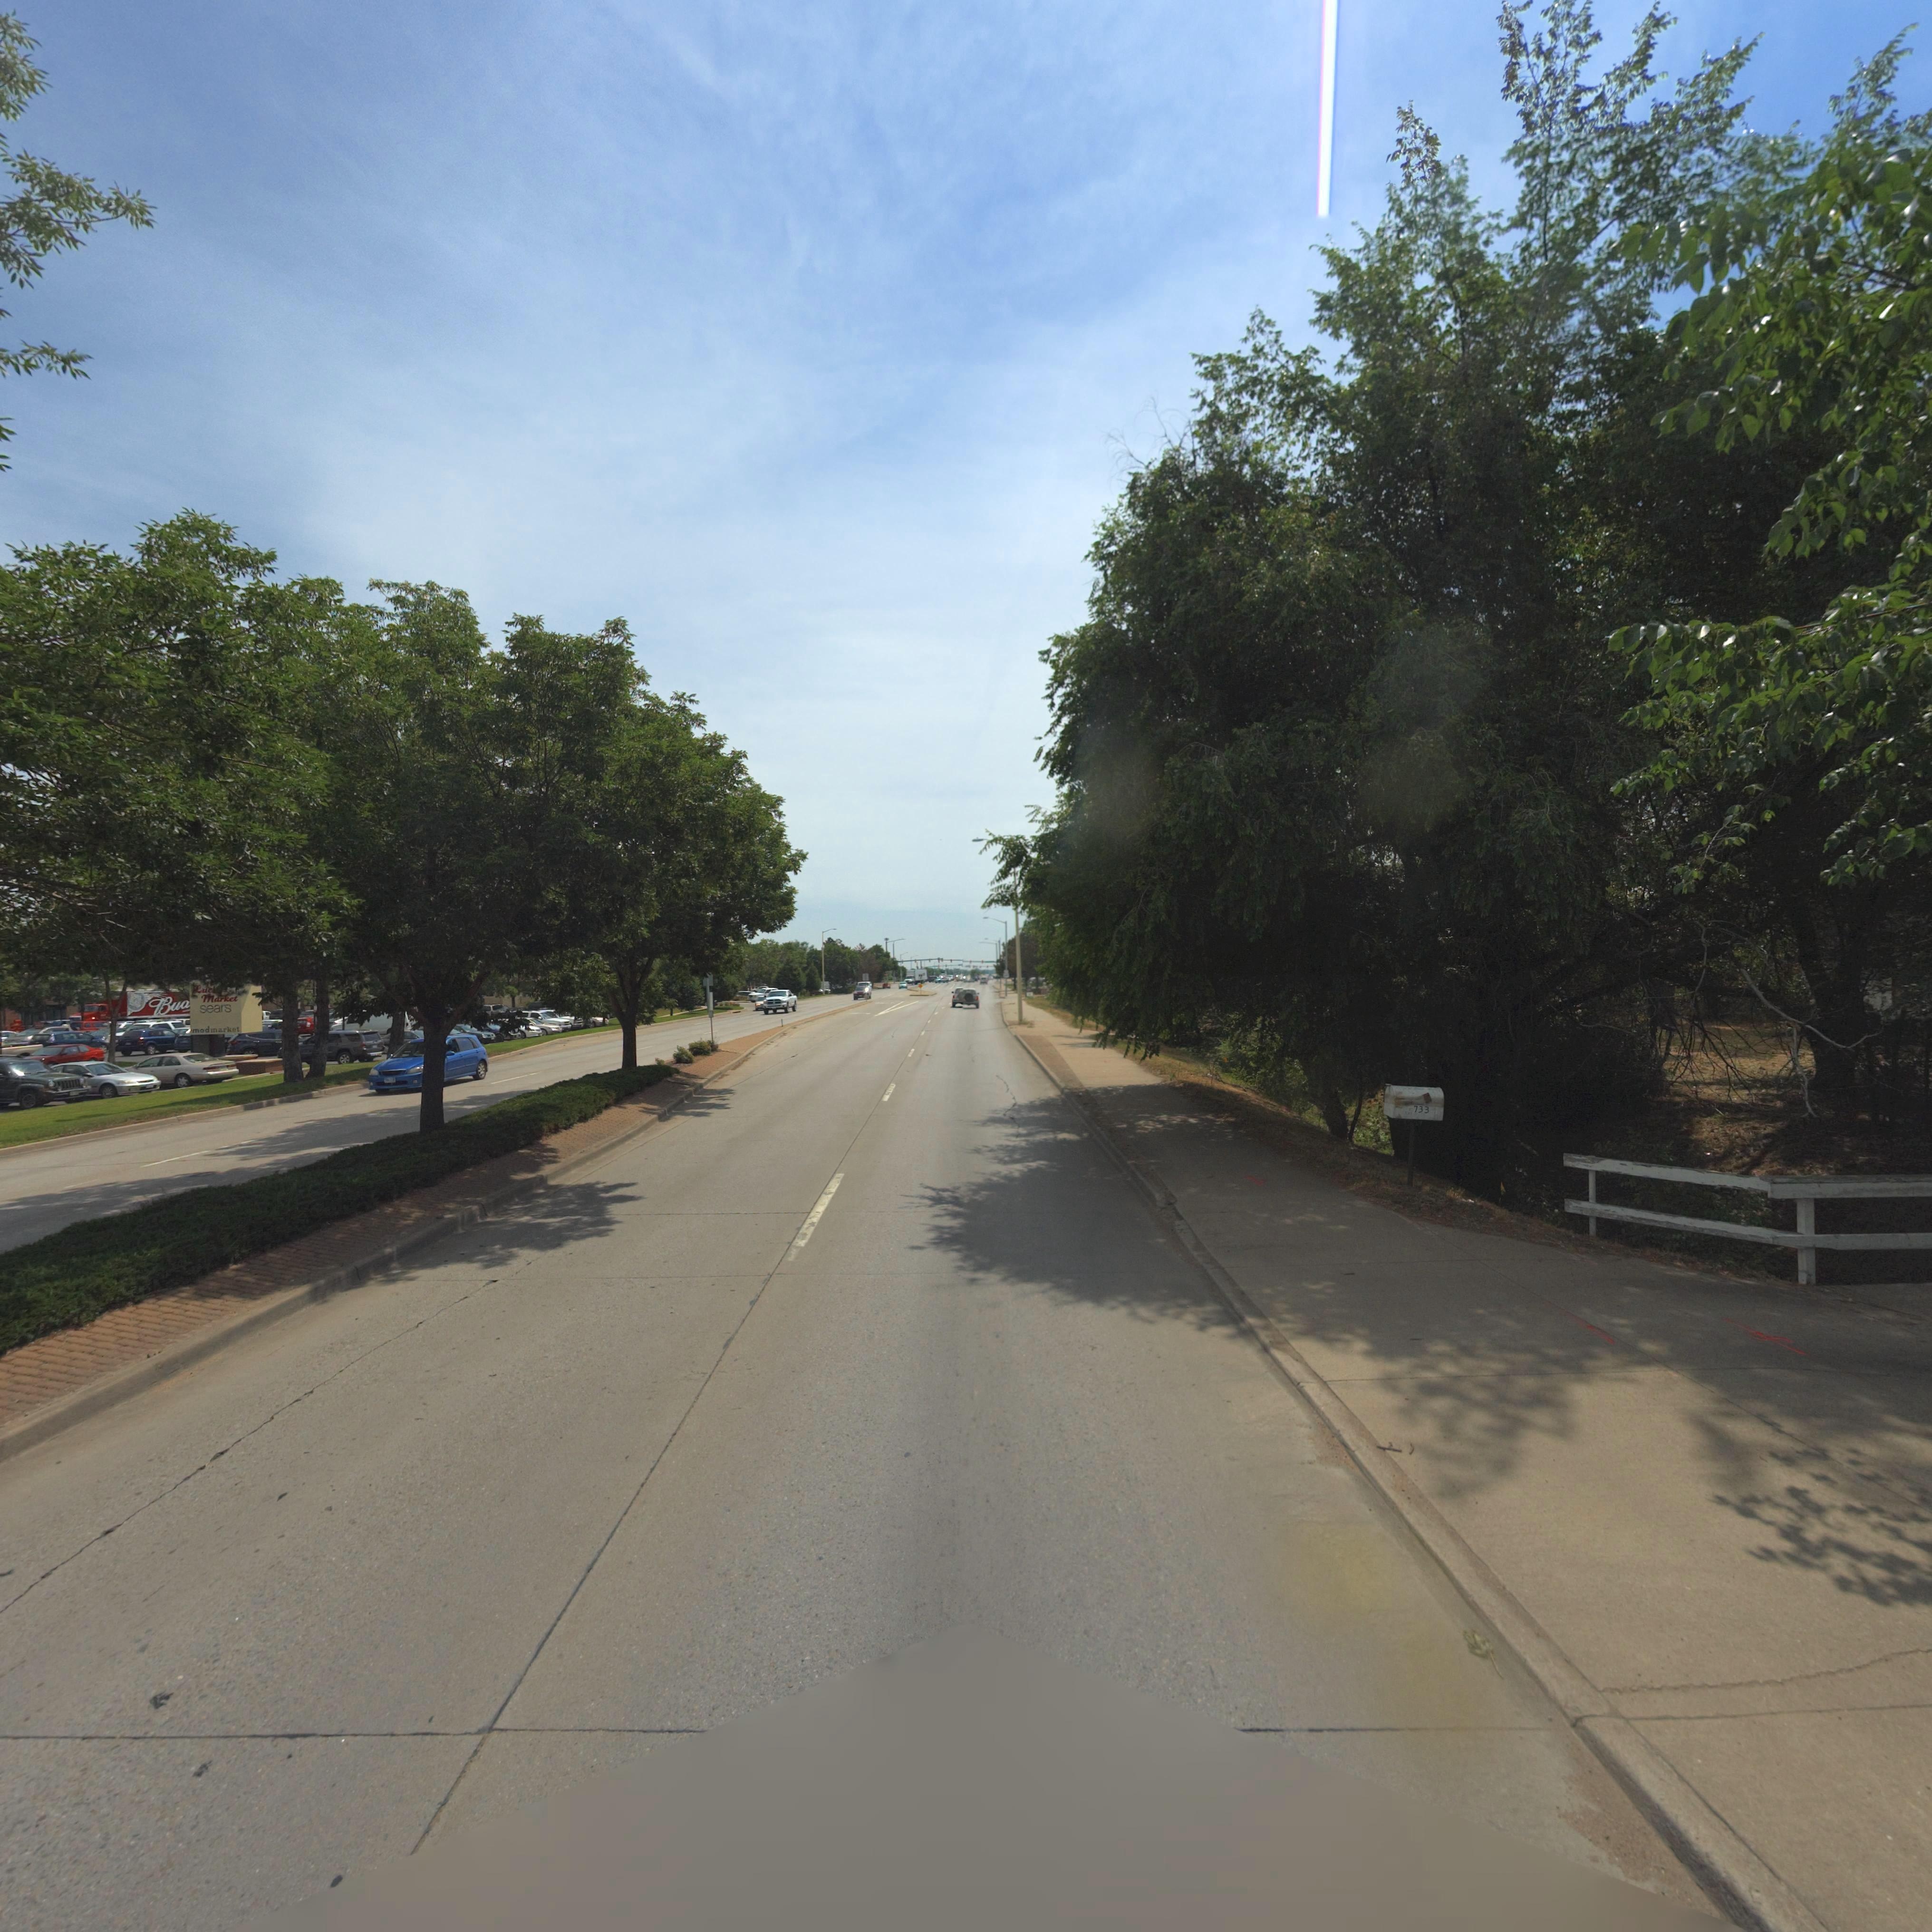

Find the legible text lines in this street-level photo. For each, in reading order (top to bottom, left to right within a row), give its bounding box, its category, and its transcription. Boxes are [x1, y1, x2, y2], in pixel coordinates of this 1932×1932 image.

[192, 984, 217, 993] BusinessName: Luc***
[201, 994, 239, 1003] BusinessName: Market
[199, 1004, 232, 1014] BusinessName: sears
[191, 1025, 241, 1034] BusinessName: modmarket
[1413, 1105, 1430, 1113] StreetNumber: 733